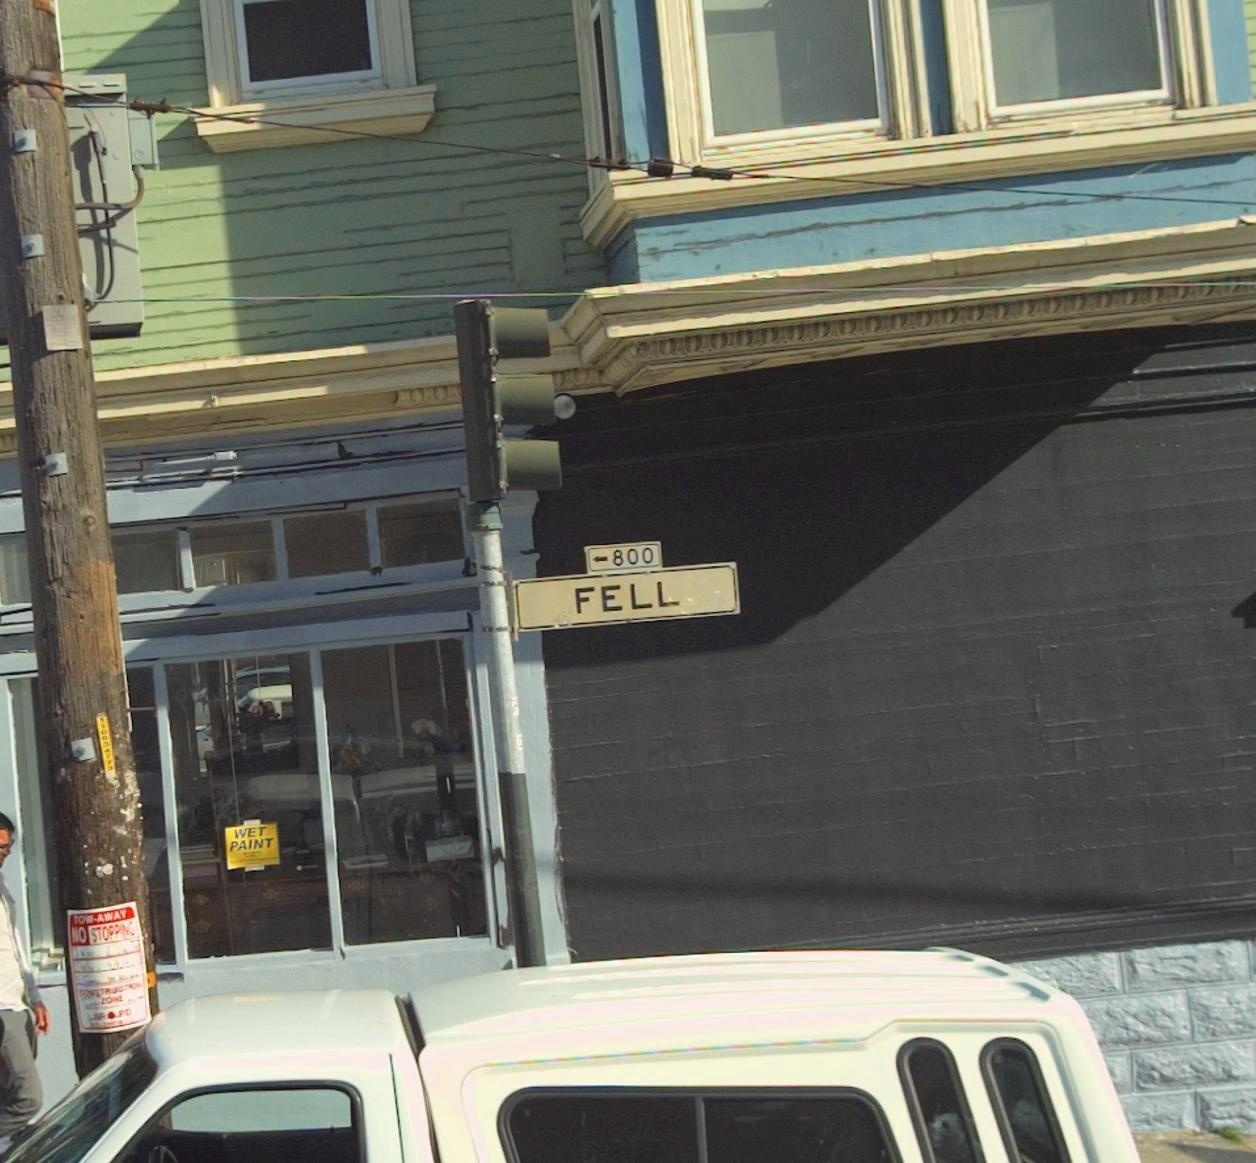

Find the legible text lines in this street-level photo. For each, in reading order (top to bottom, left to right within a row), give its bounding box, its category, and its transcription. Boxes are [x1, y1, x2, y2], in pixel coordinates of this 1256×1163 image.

[588, 543, 658, 572] StreetNumberRange: <-800
[571, 576, 685, 615] StreetName: FELL
[94, 715, 116, 772] None: *100*47**
[231, 823, 267, 841] None: WET
[226, 836, 275, 854] None: PAINT
[72, 907, 127, 925] None: TOW-AWAY
[69, 918, 140, 945] None: NO STOPPING
[100, 993, 126, 1007] None: ZONE